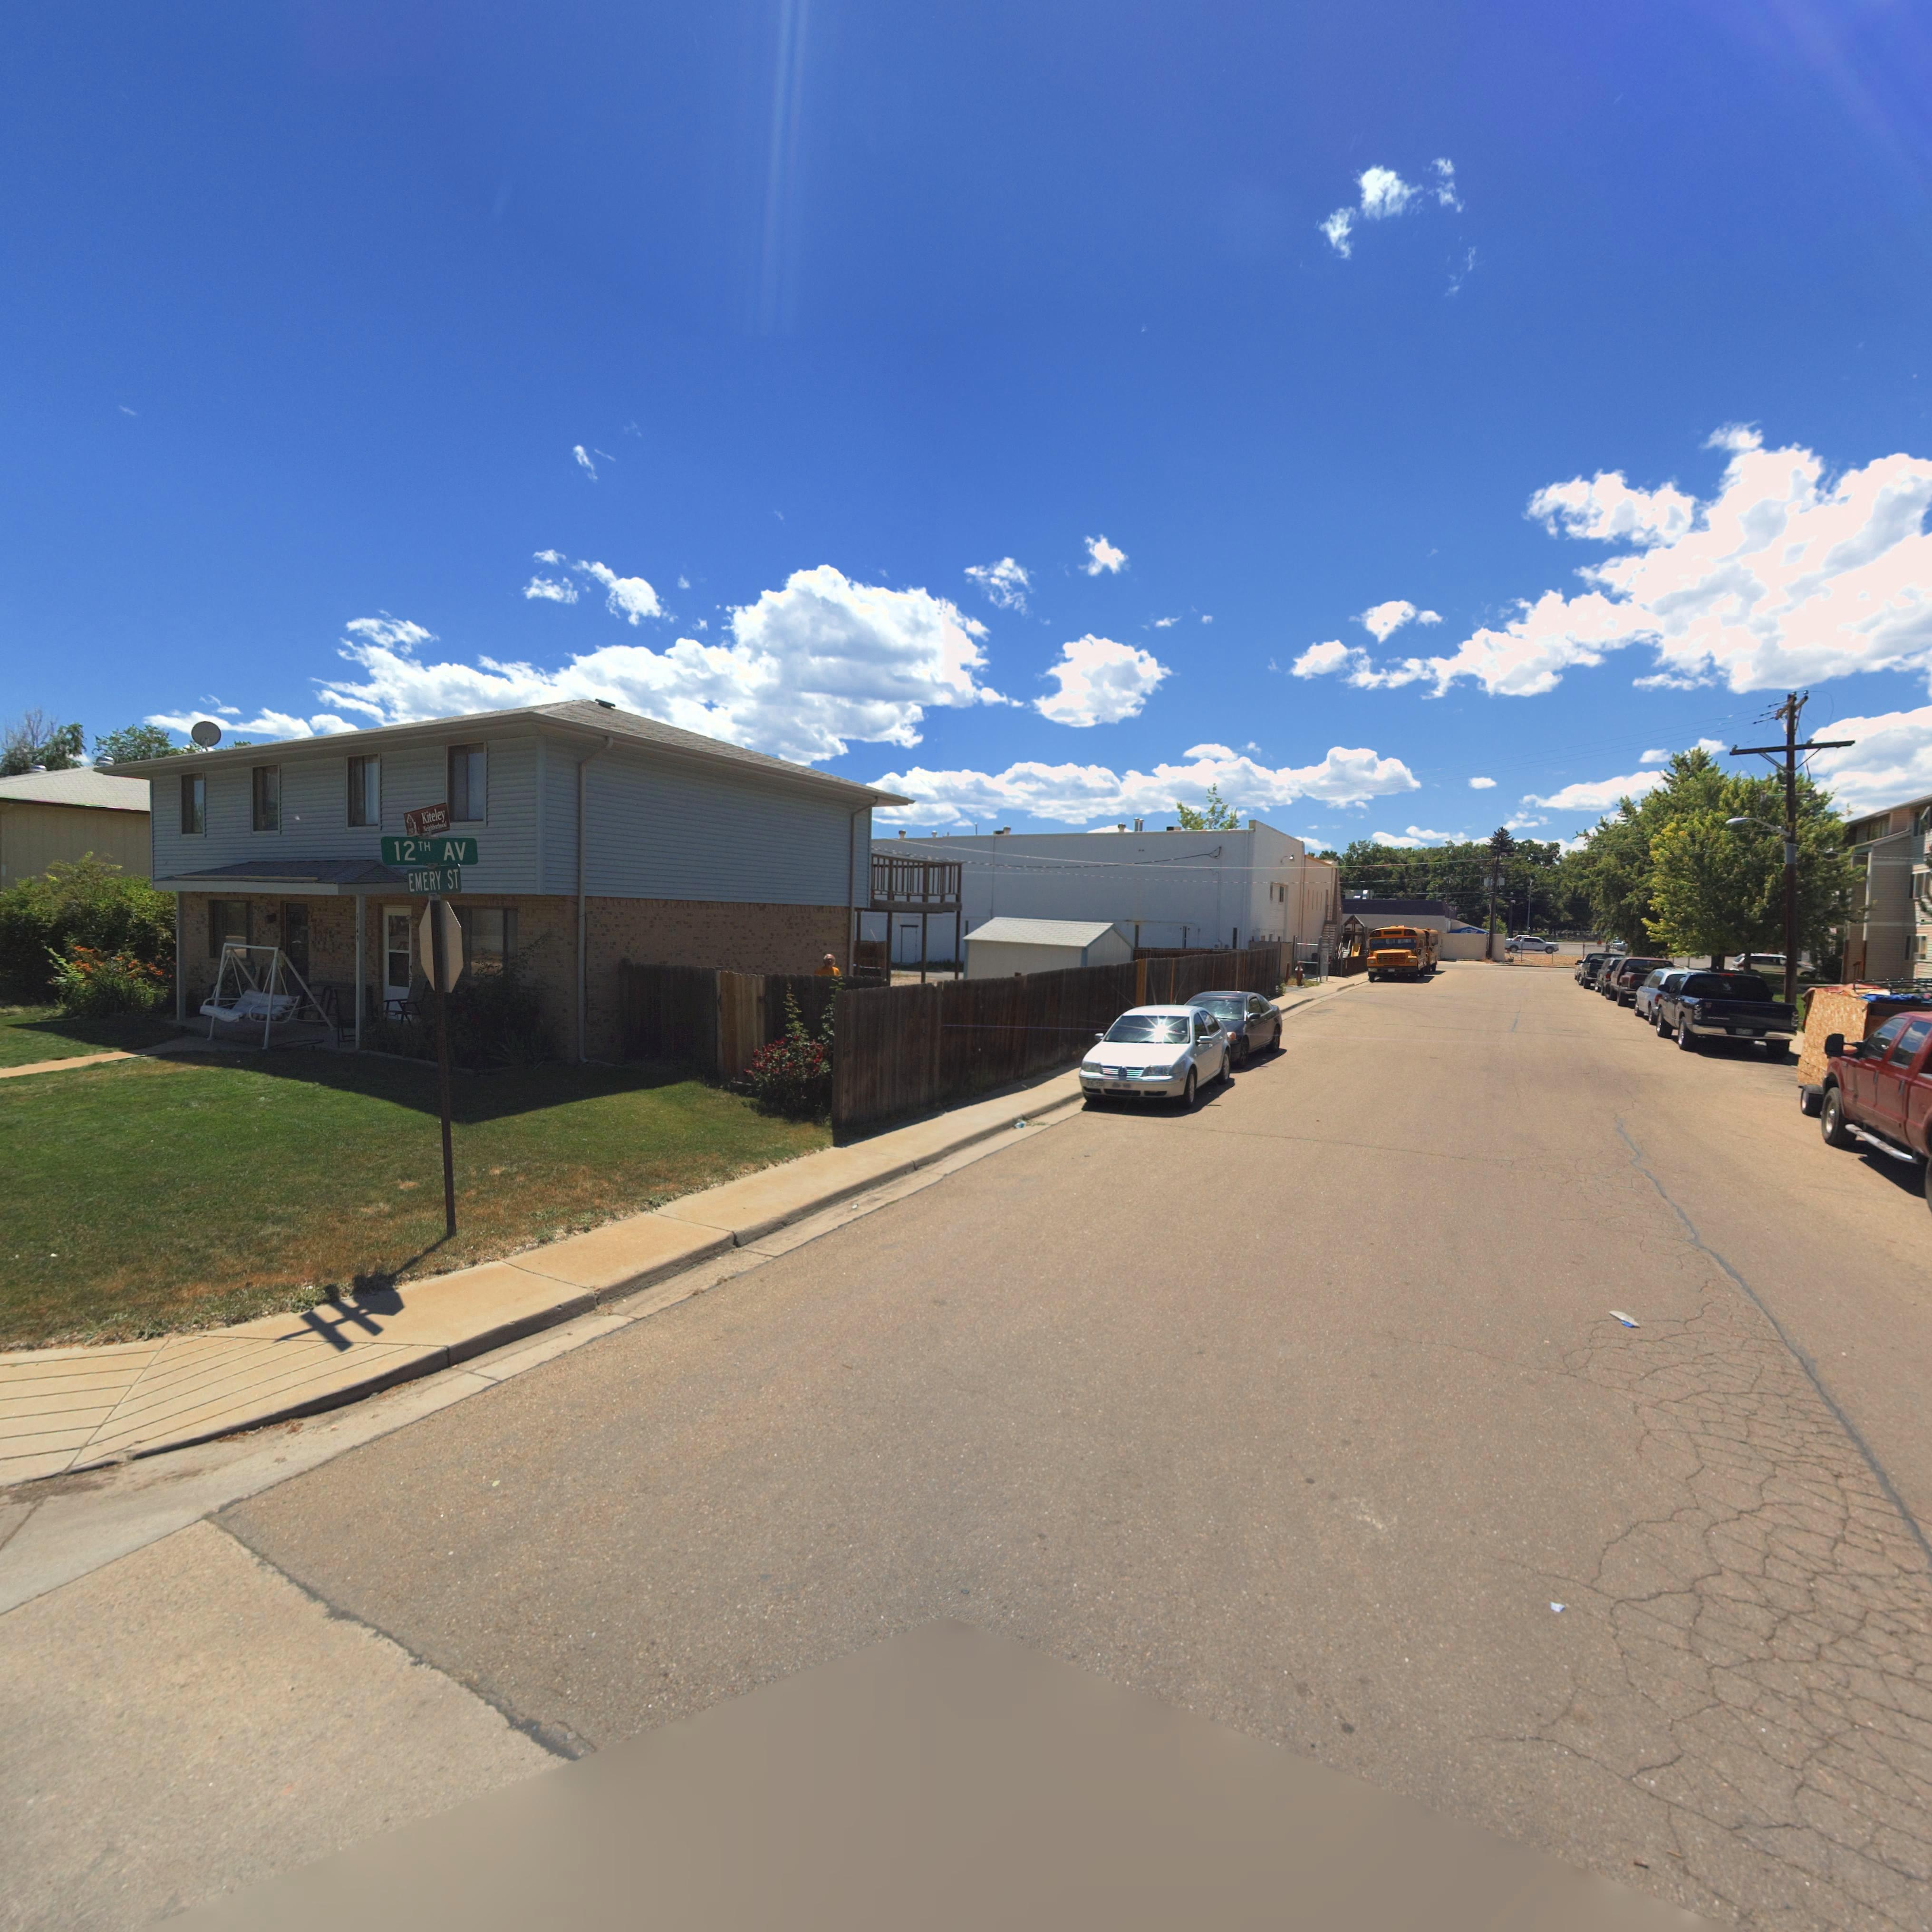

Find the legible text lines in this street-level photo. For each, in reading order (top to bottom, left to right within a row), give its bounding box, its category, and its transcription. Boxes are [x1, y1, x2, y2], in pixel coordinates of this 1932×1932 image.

[393, 840, 467, 861] StreetName: 12TH AV
[408, 868, 458, 892] StreetName: EMERY ST
[356, 912, 359, 942] StreetNumber: 1145